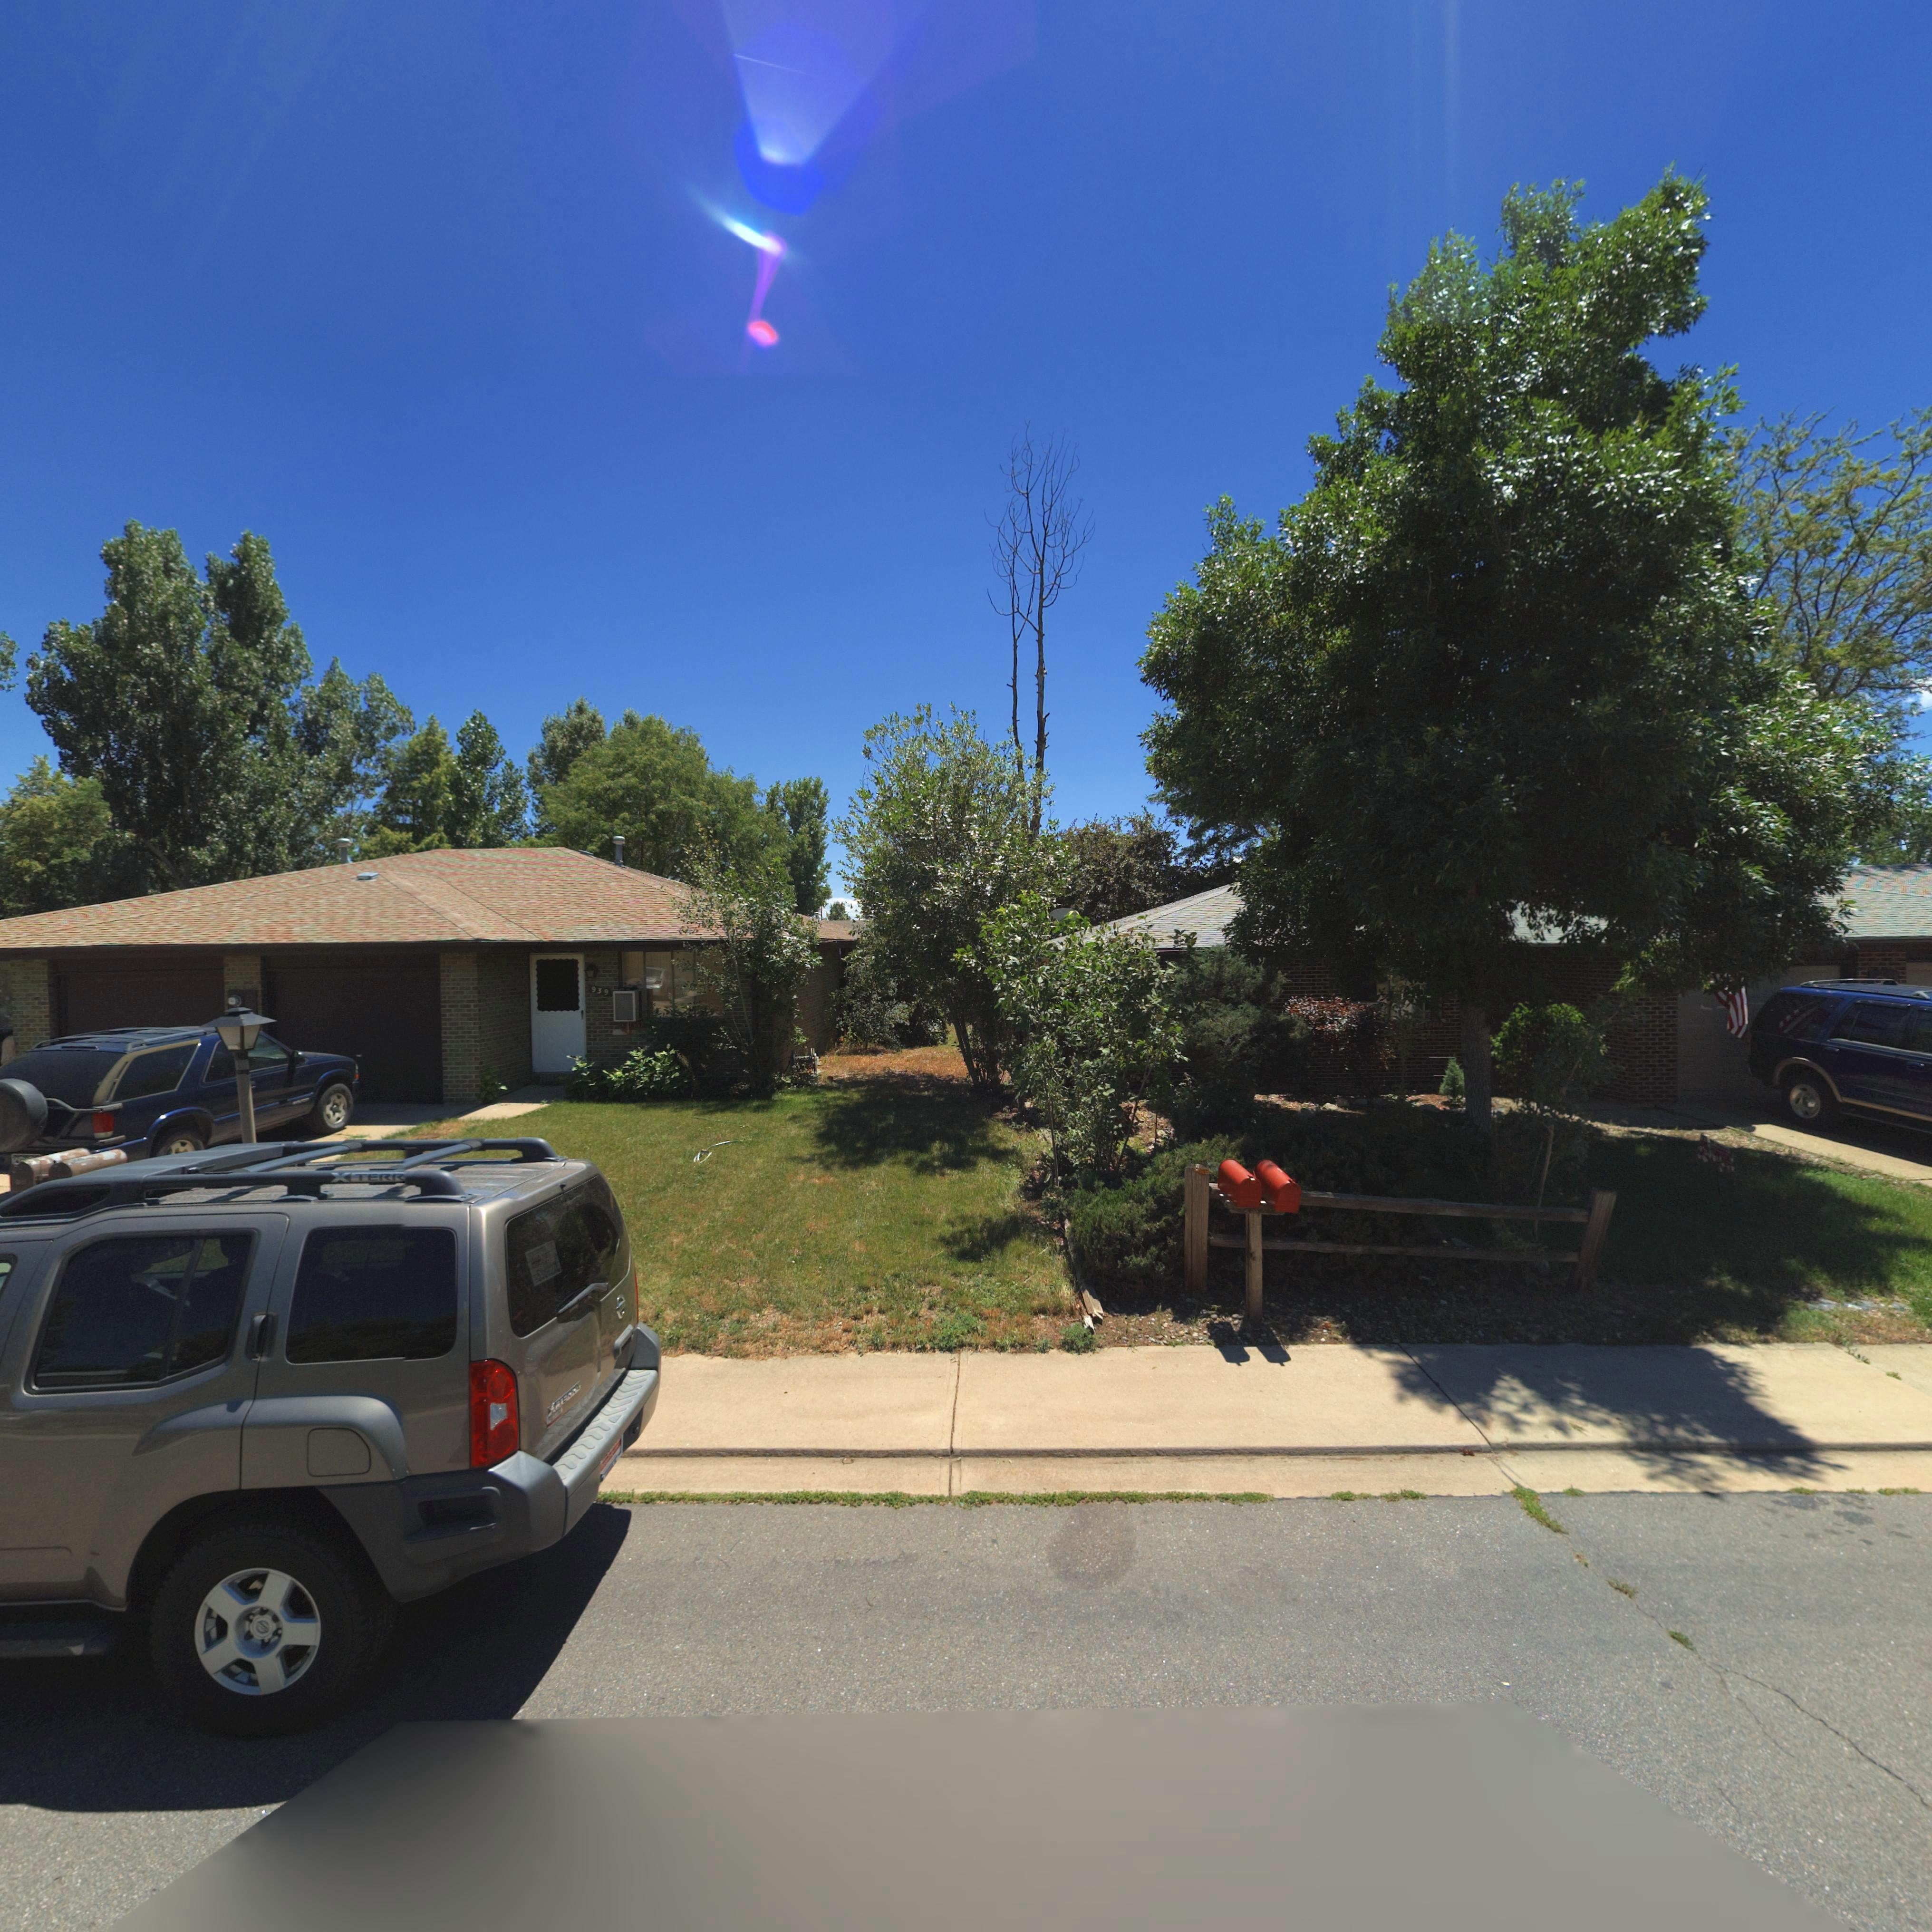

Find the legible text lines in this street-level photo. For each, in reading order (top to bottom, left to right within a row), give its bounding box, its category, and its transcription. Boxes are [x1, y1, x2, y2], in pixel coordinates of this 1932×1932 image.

[591, 986, 609, 995] StreetNumber: 939